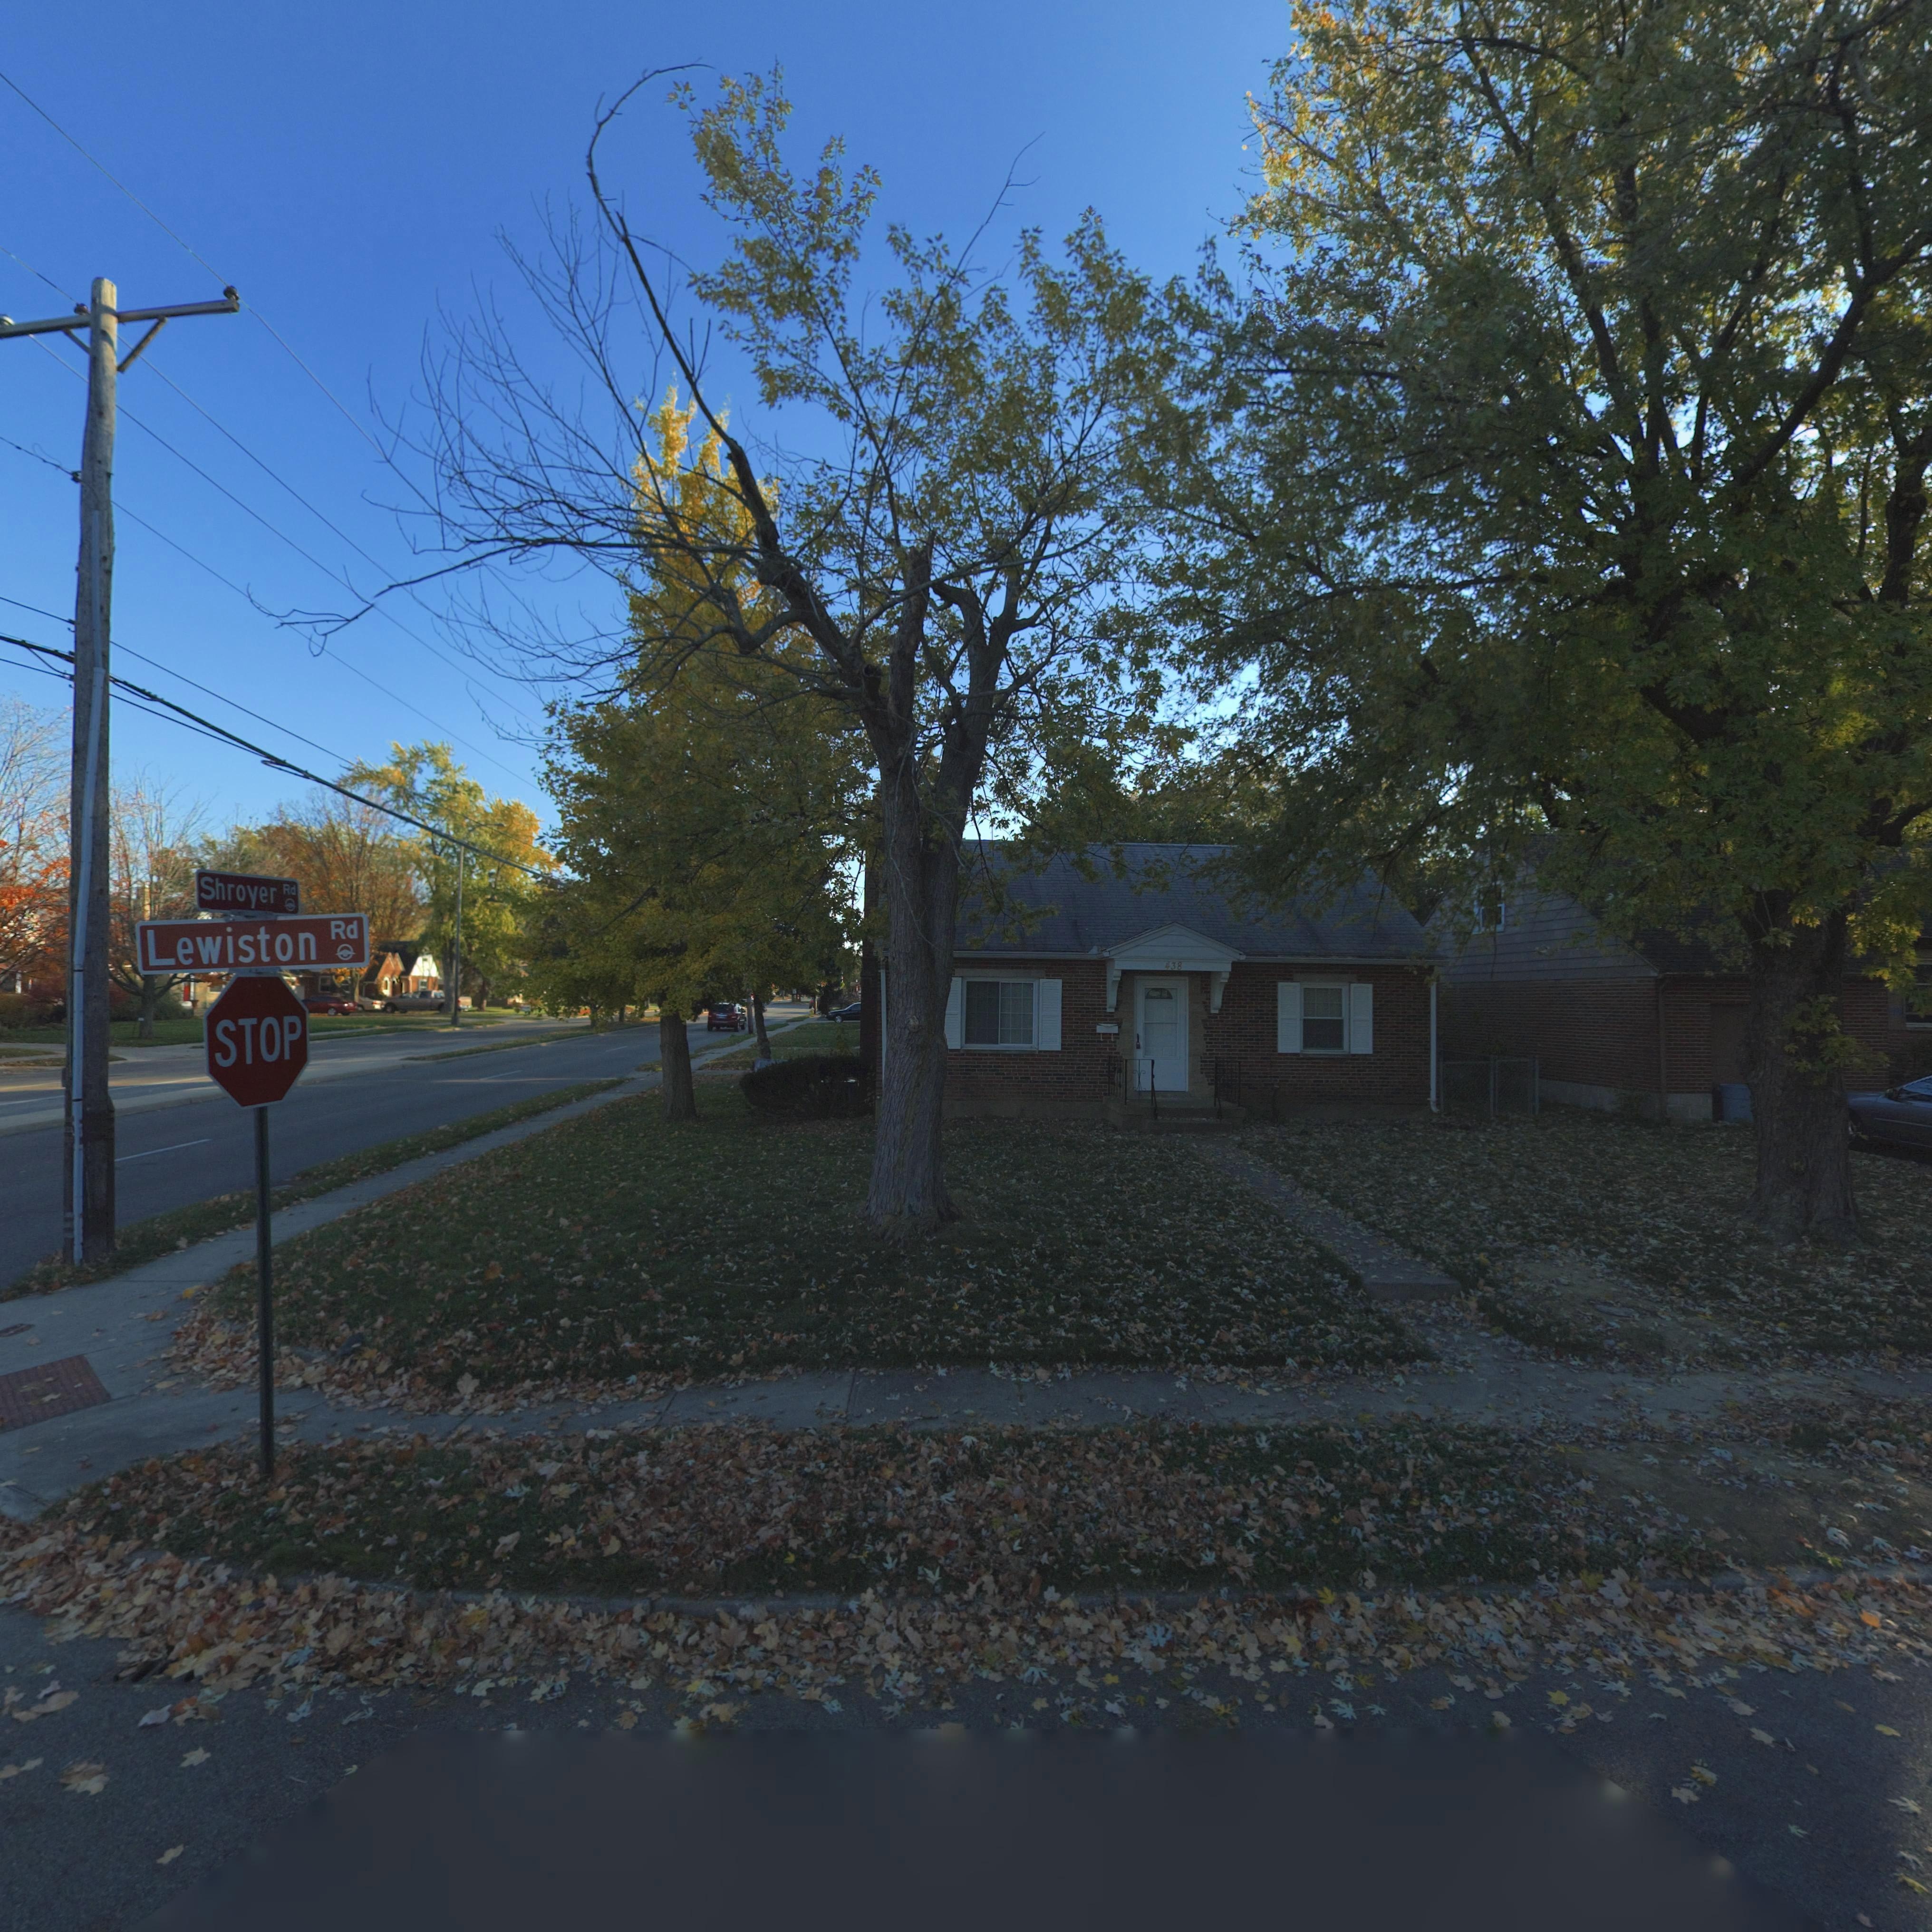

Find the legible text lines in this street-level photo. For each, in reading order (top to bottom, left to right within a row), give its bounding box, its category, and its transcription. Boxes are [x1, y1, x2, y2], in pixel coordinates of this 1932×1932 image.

[198, 874, 298, 911] StreetName: Shroyer Rd
[145, 918, 359, 968] StreetName: Lewiston Rd
[1164, 960, 1183, 971] StreetNumber: 438